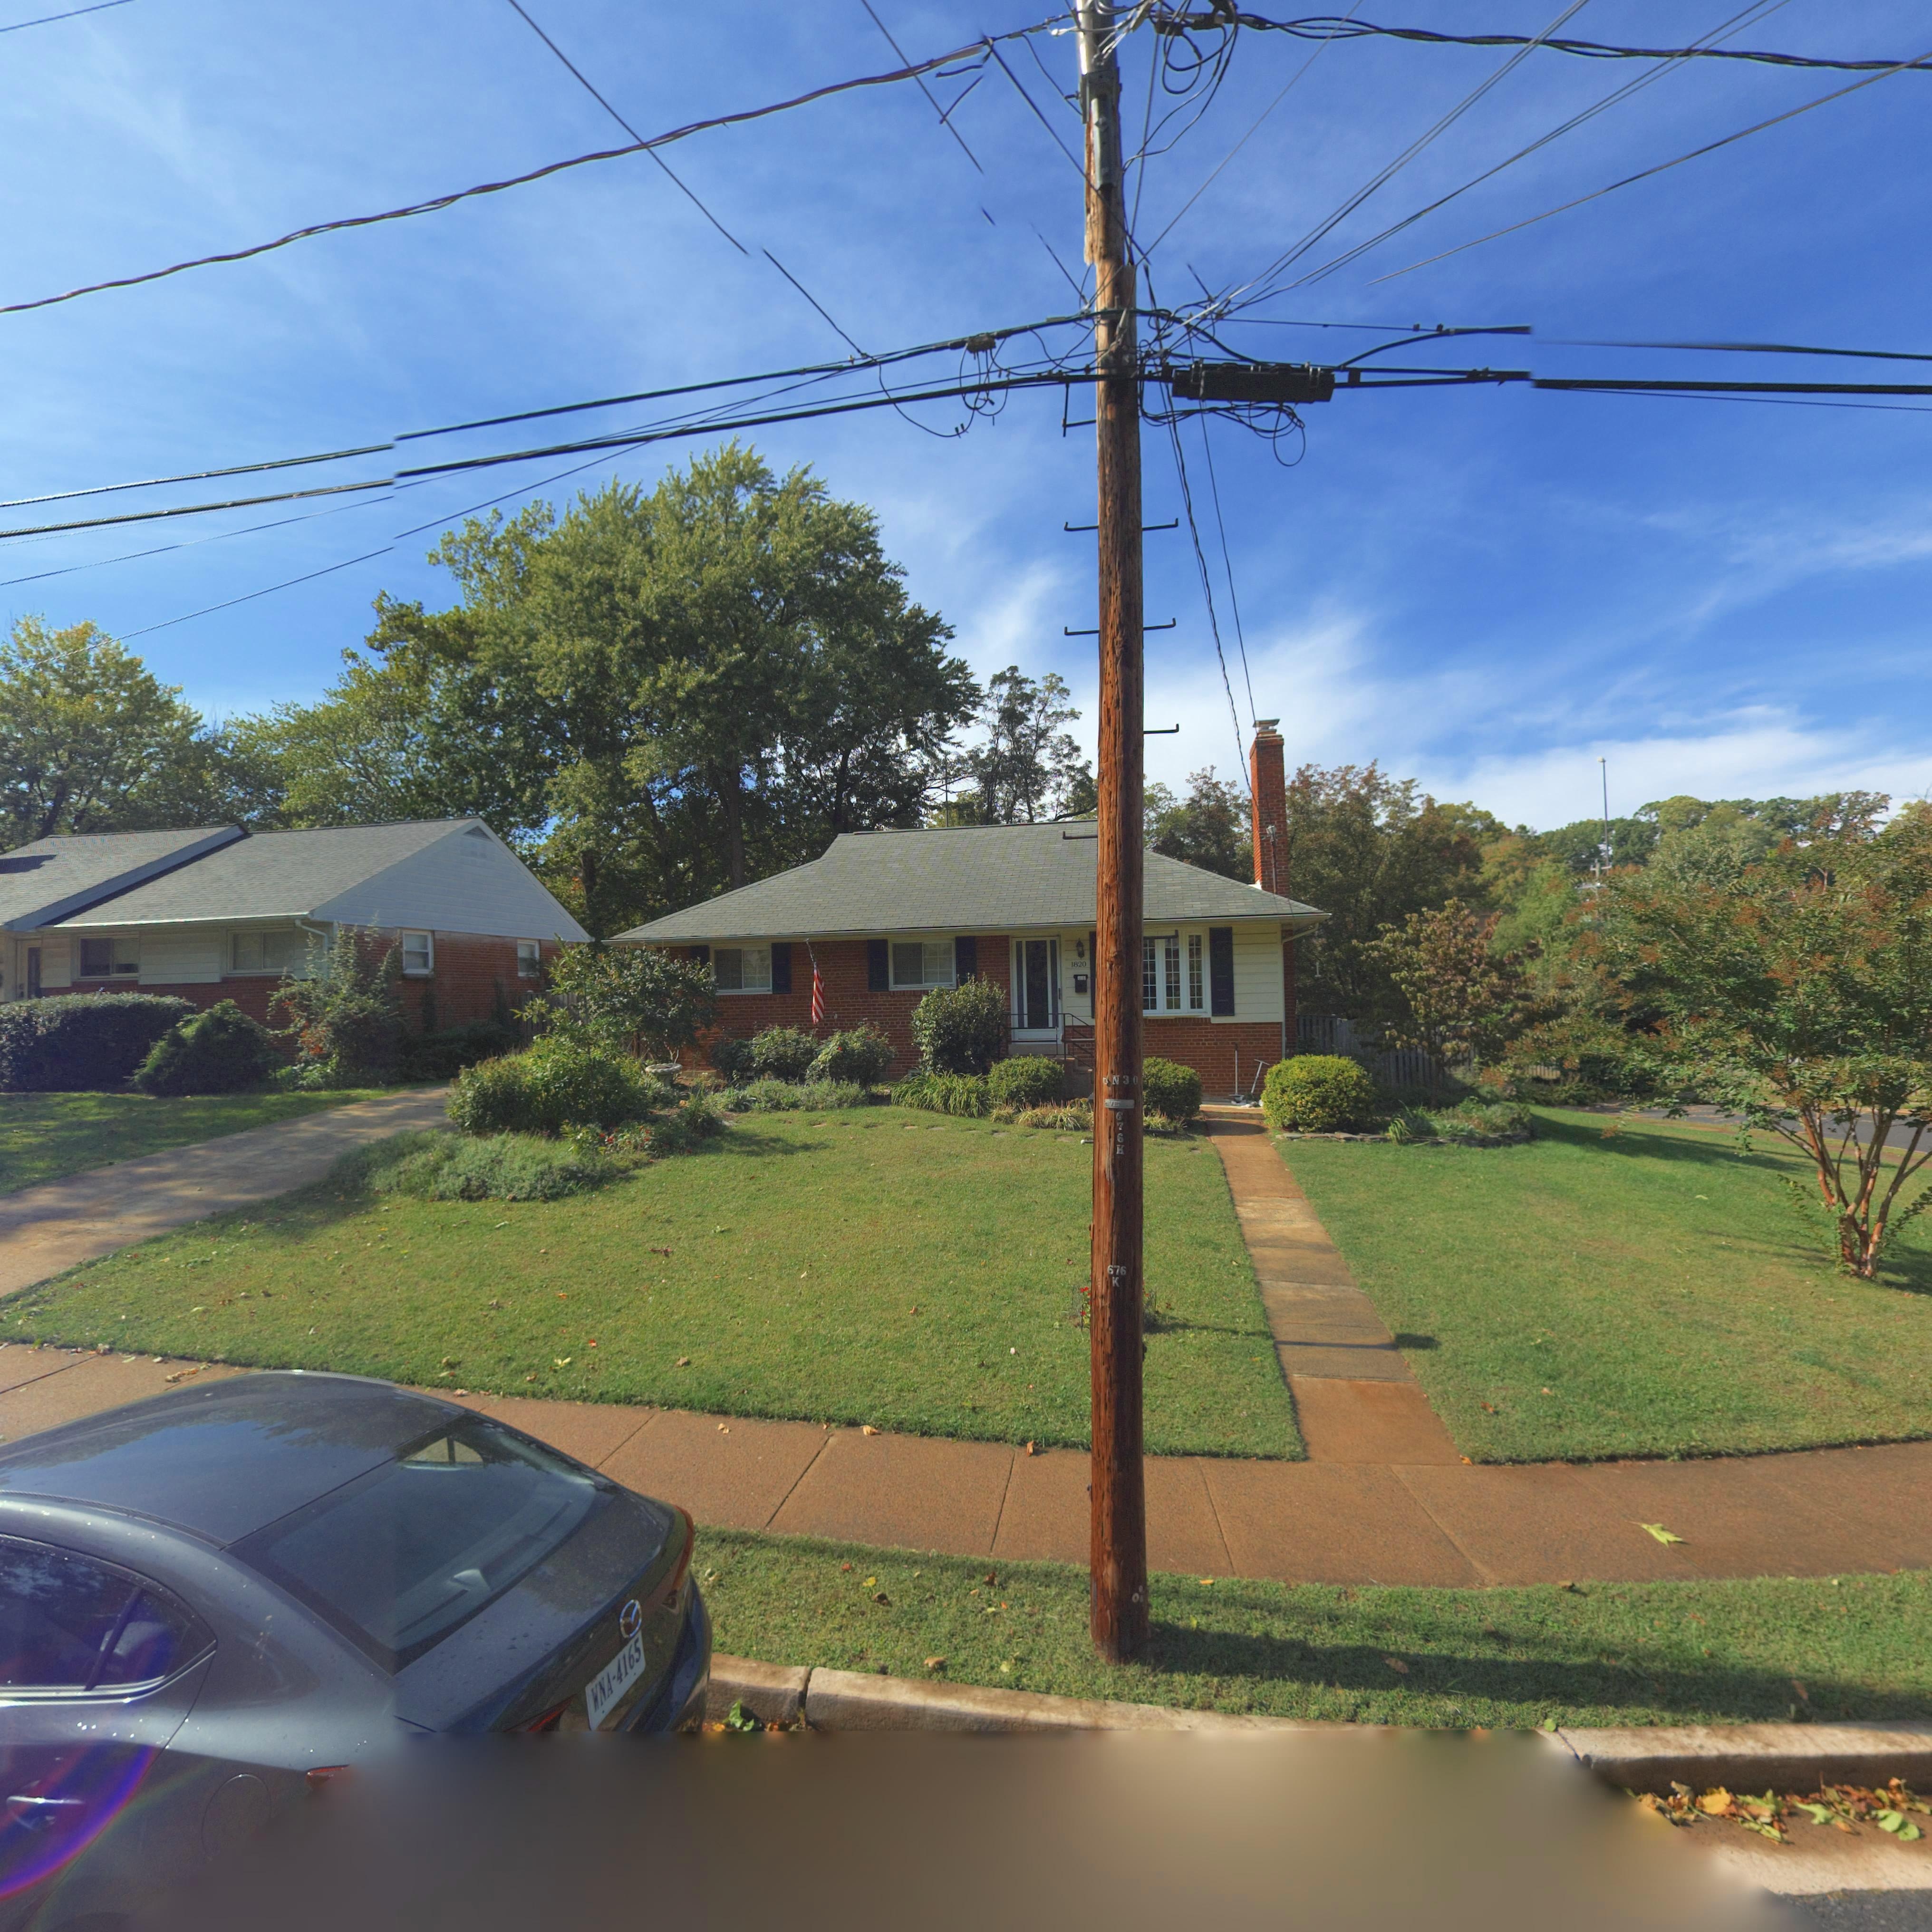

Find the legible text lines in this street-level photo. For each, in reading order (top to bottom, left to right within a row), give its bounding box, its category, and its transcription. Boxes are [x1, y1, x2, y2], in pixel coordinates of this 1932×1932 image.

[1071, 961, 1086, 967] StreetNumber: 1820
[1102, 1074, 1139, 1085] None: *N30
[1115, 1111, 1126, 1156] None: 676K
[1107, 1264, 1127, 1276] None: 676
[1111, 1275, 1121, 1288] None: k
[591, 1635, 642, 1715] None: WNA-4165